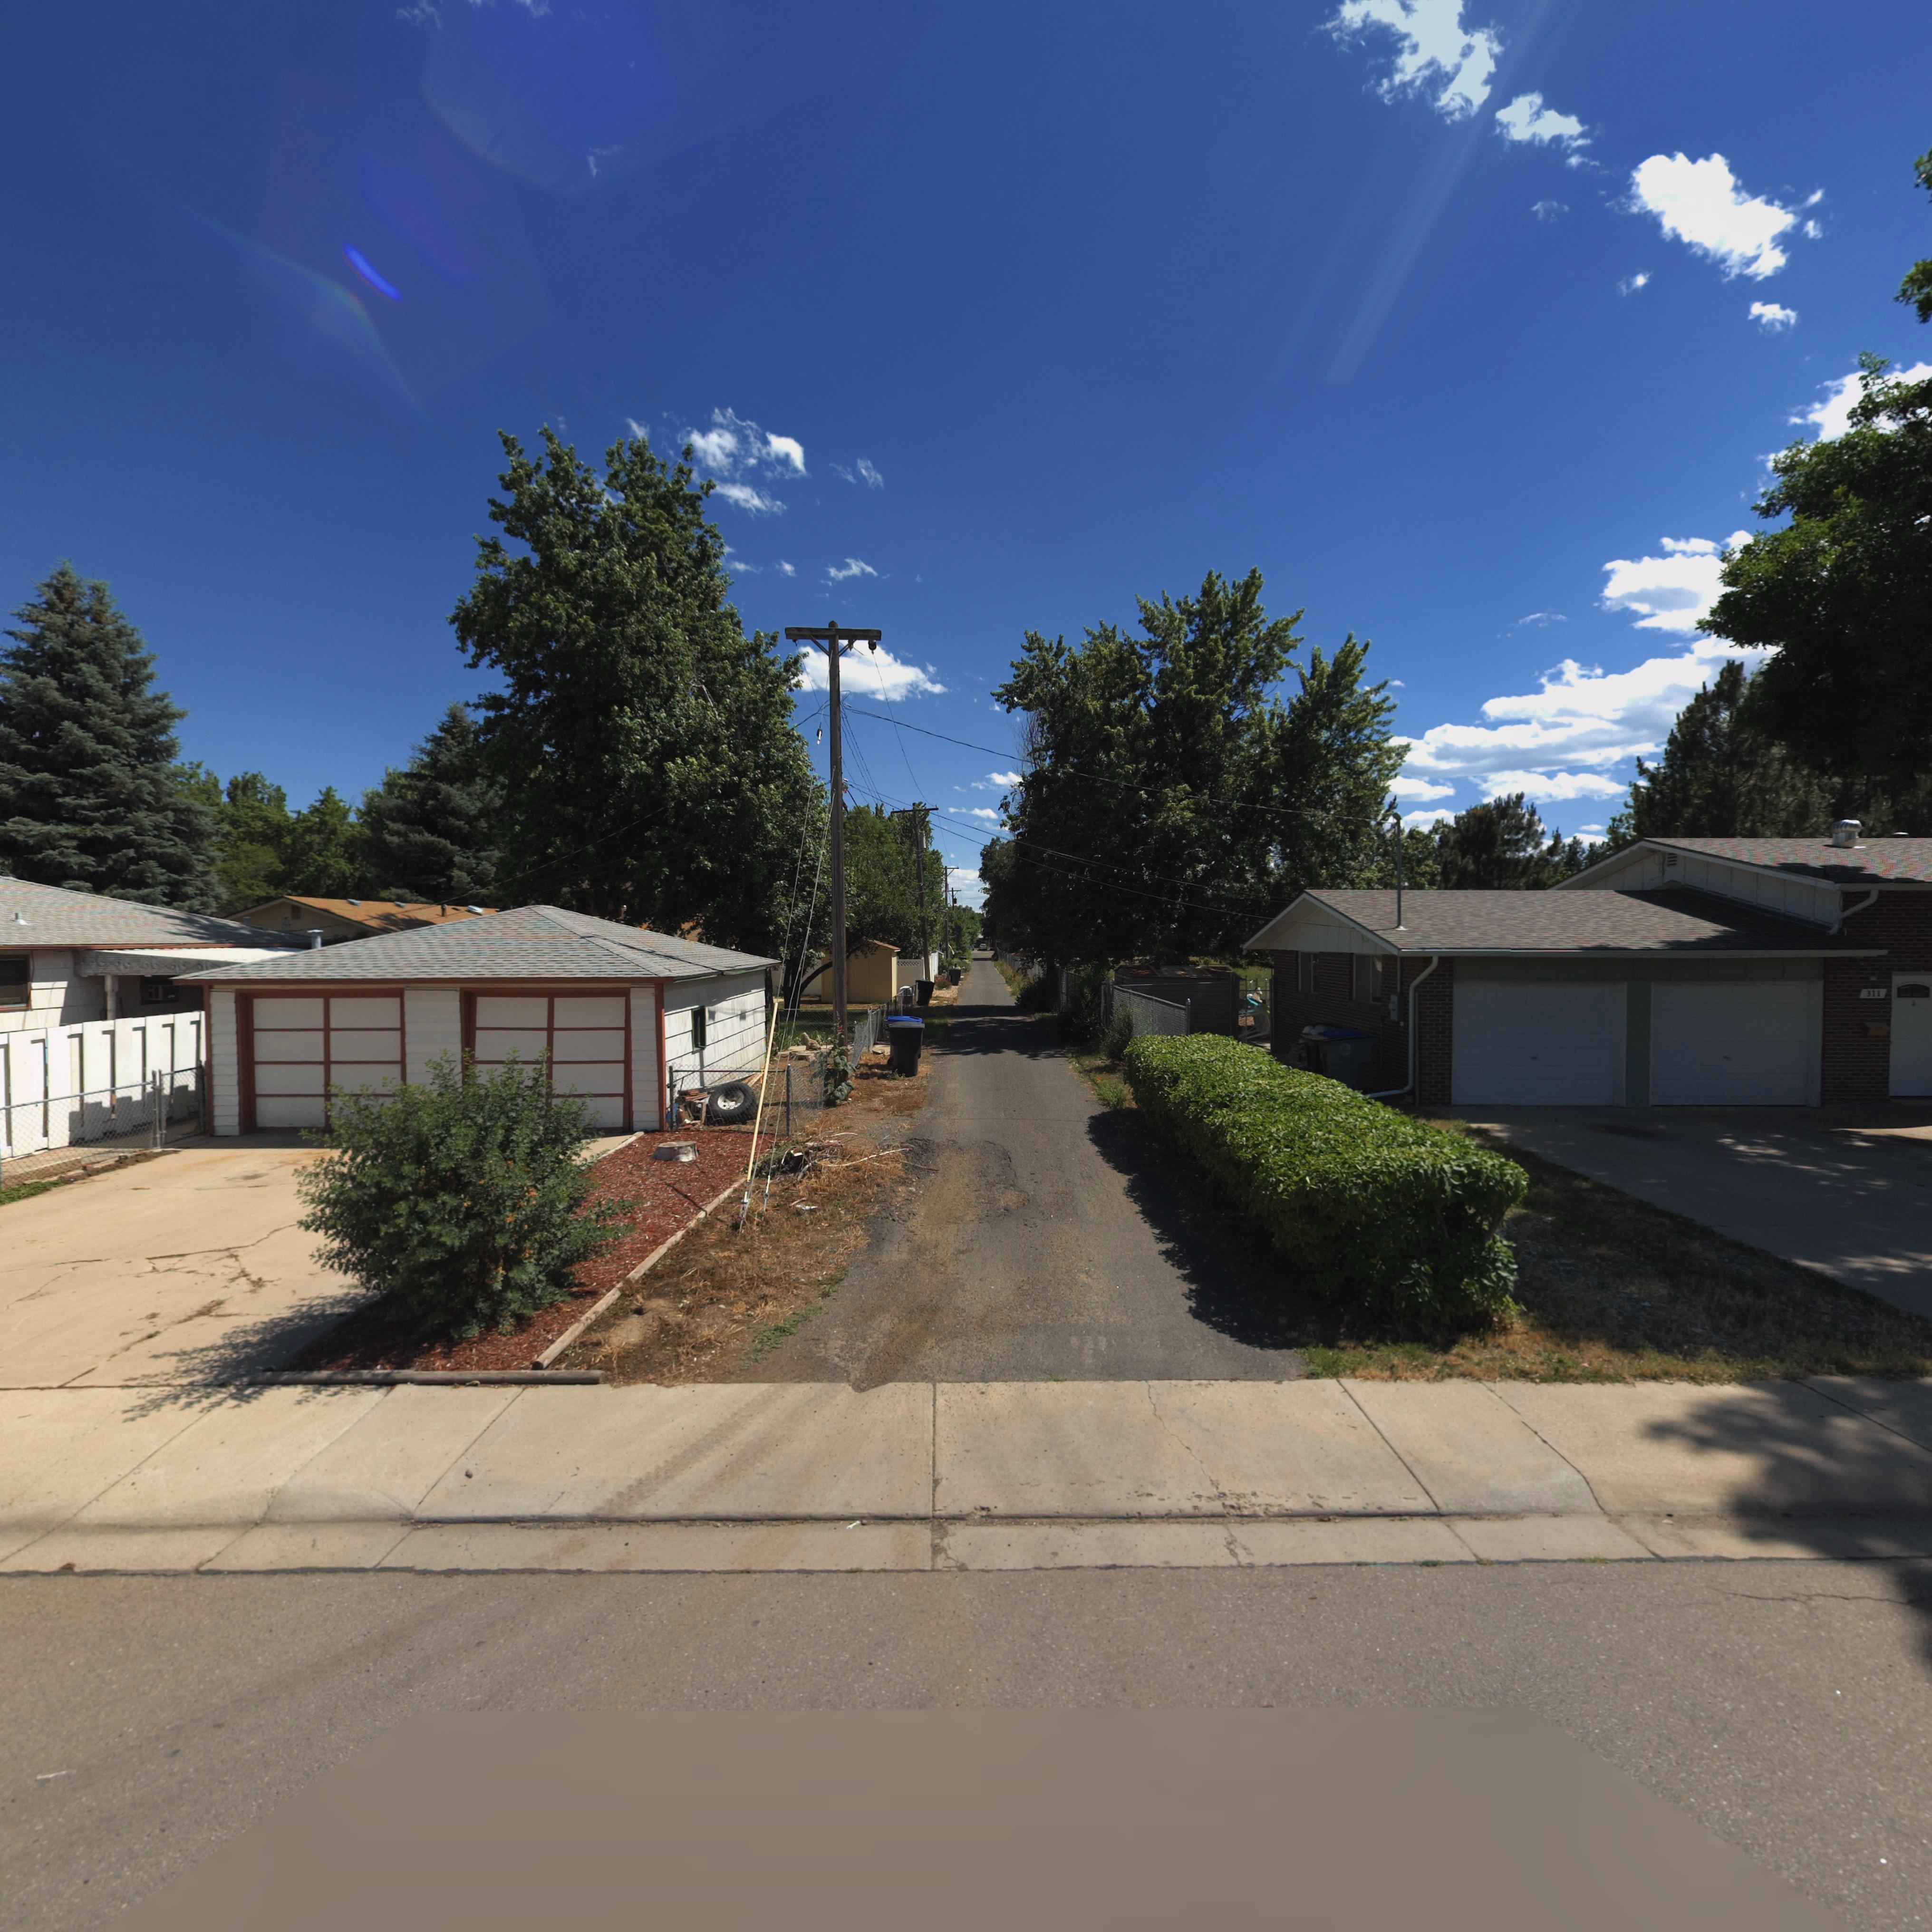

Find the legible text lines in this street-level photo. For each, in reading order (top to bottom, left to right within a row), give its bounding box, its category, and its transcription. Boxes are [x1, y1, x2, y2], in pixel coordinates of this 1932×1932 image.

[1866, 990, 1880, 997] StreetNumber: 311